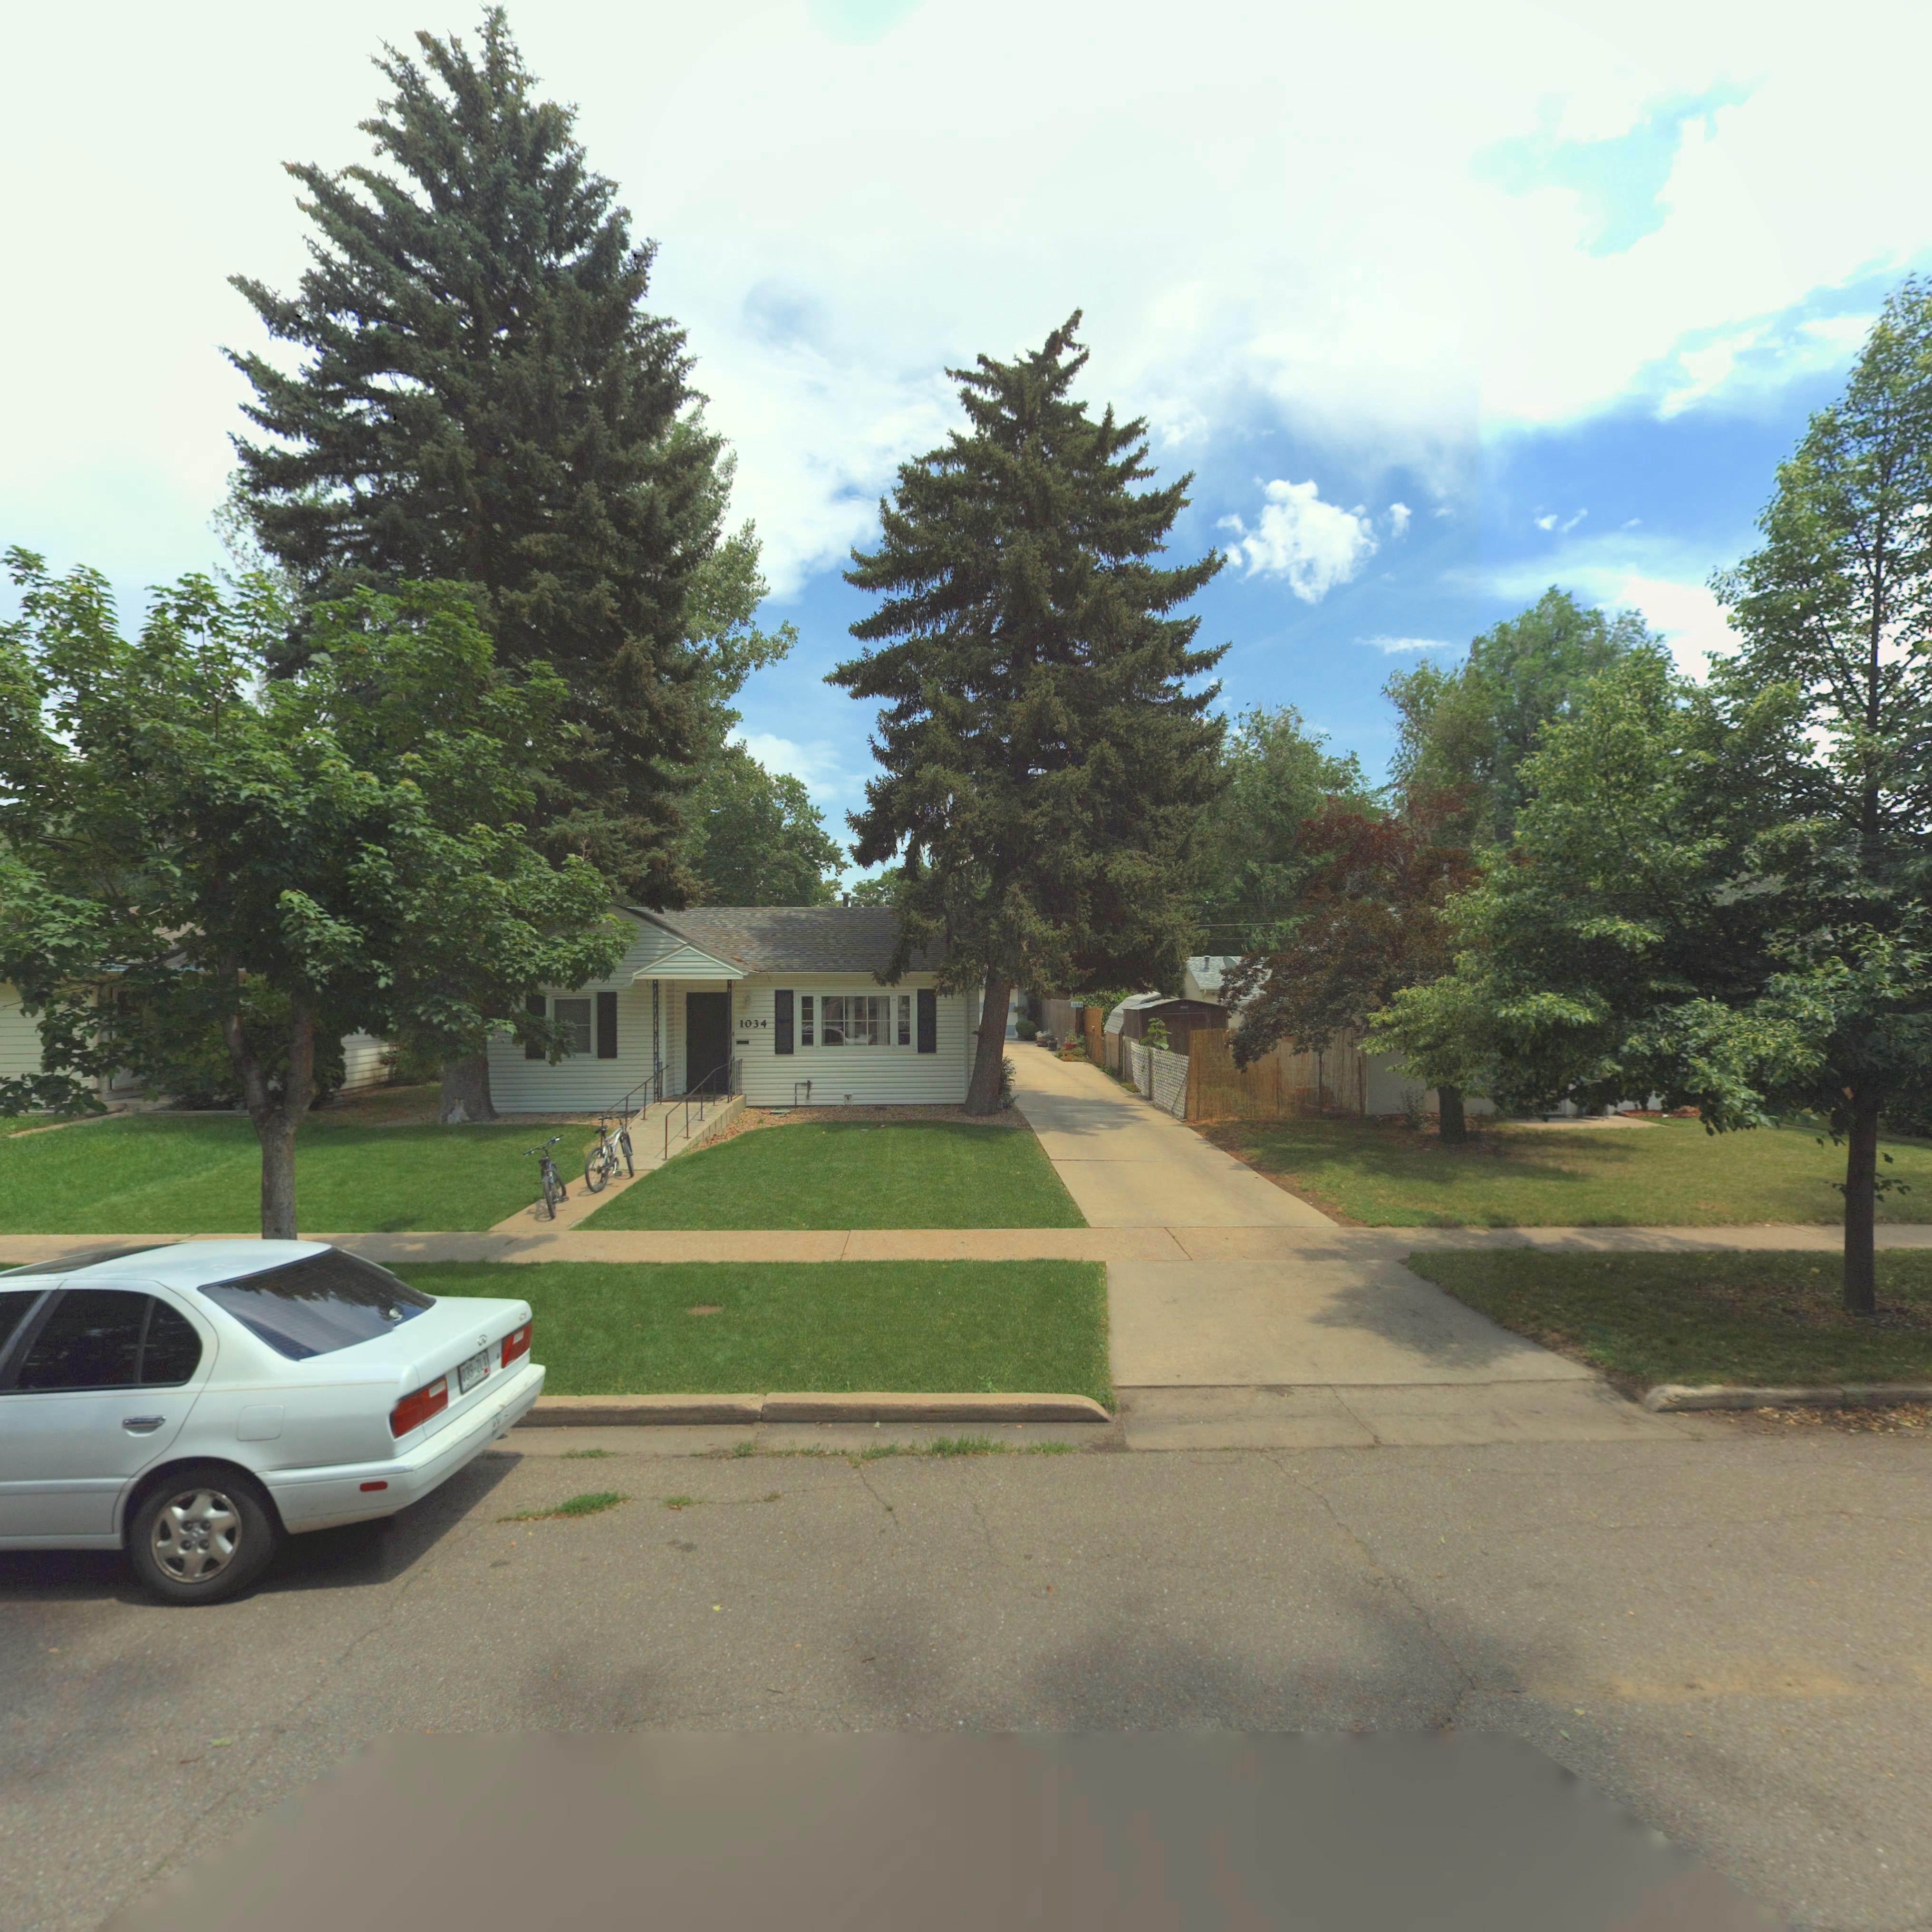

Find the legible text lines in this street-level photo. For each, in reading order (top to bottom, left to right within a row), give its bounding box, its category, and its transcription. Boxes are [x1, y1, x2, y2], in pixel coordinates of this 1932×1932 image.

[739, 1019, 766, 1028] StreetNumber: 1034